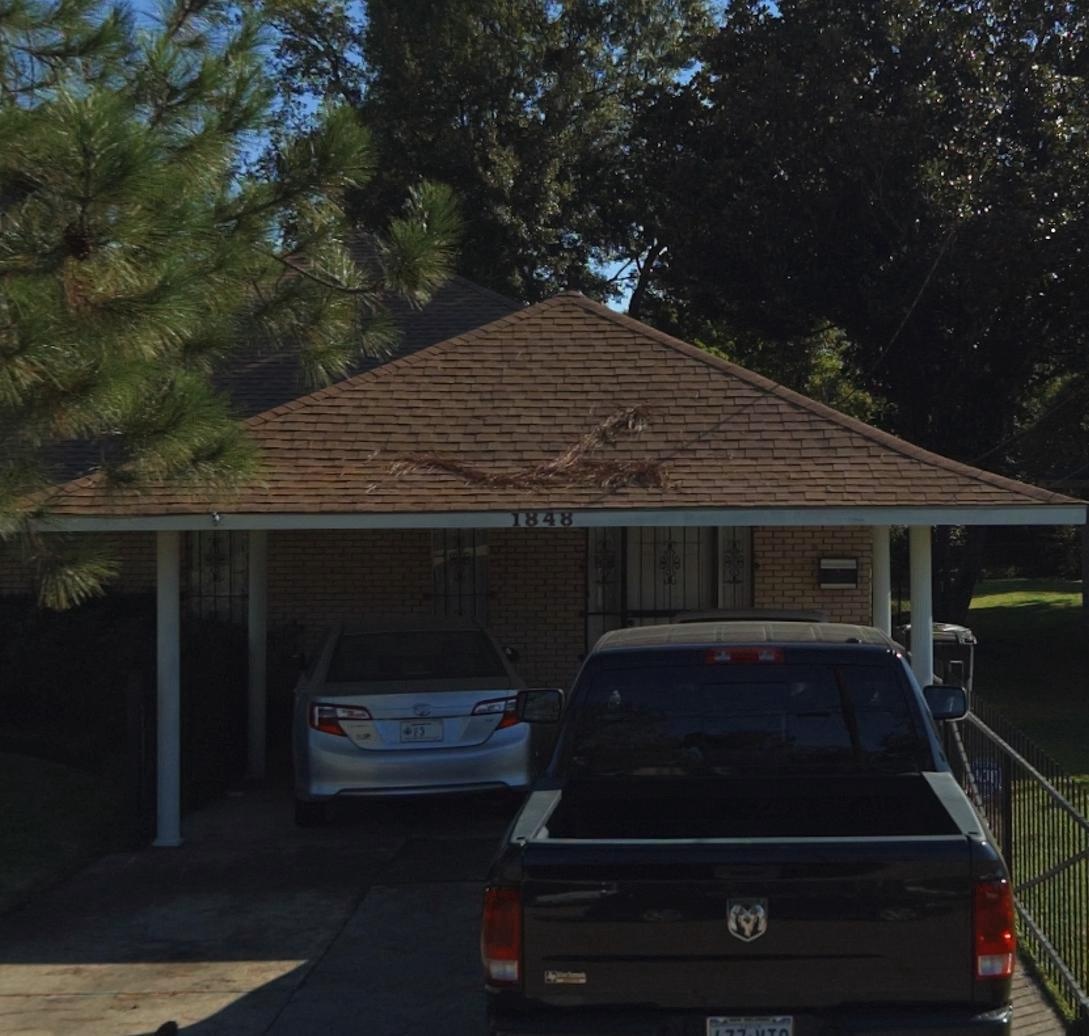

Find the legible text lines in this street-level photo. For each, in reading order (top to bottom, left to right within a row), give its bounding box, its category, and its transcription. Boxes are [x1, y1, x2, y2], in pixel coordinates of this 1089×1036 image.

[510, 511, 576, 528] StreetNumber: 1*4*